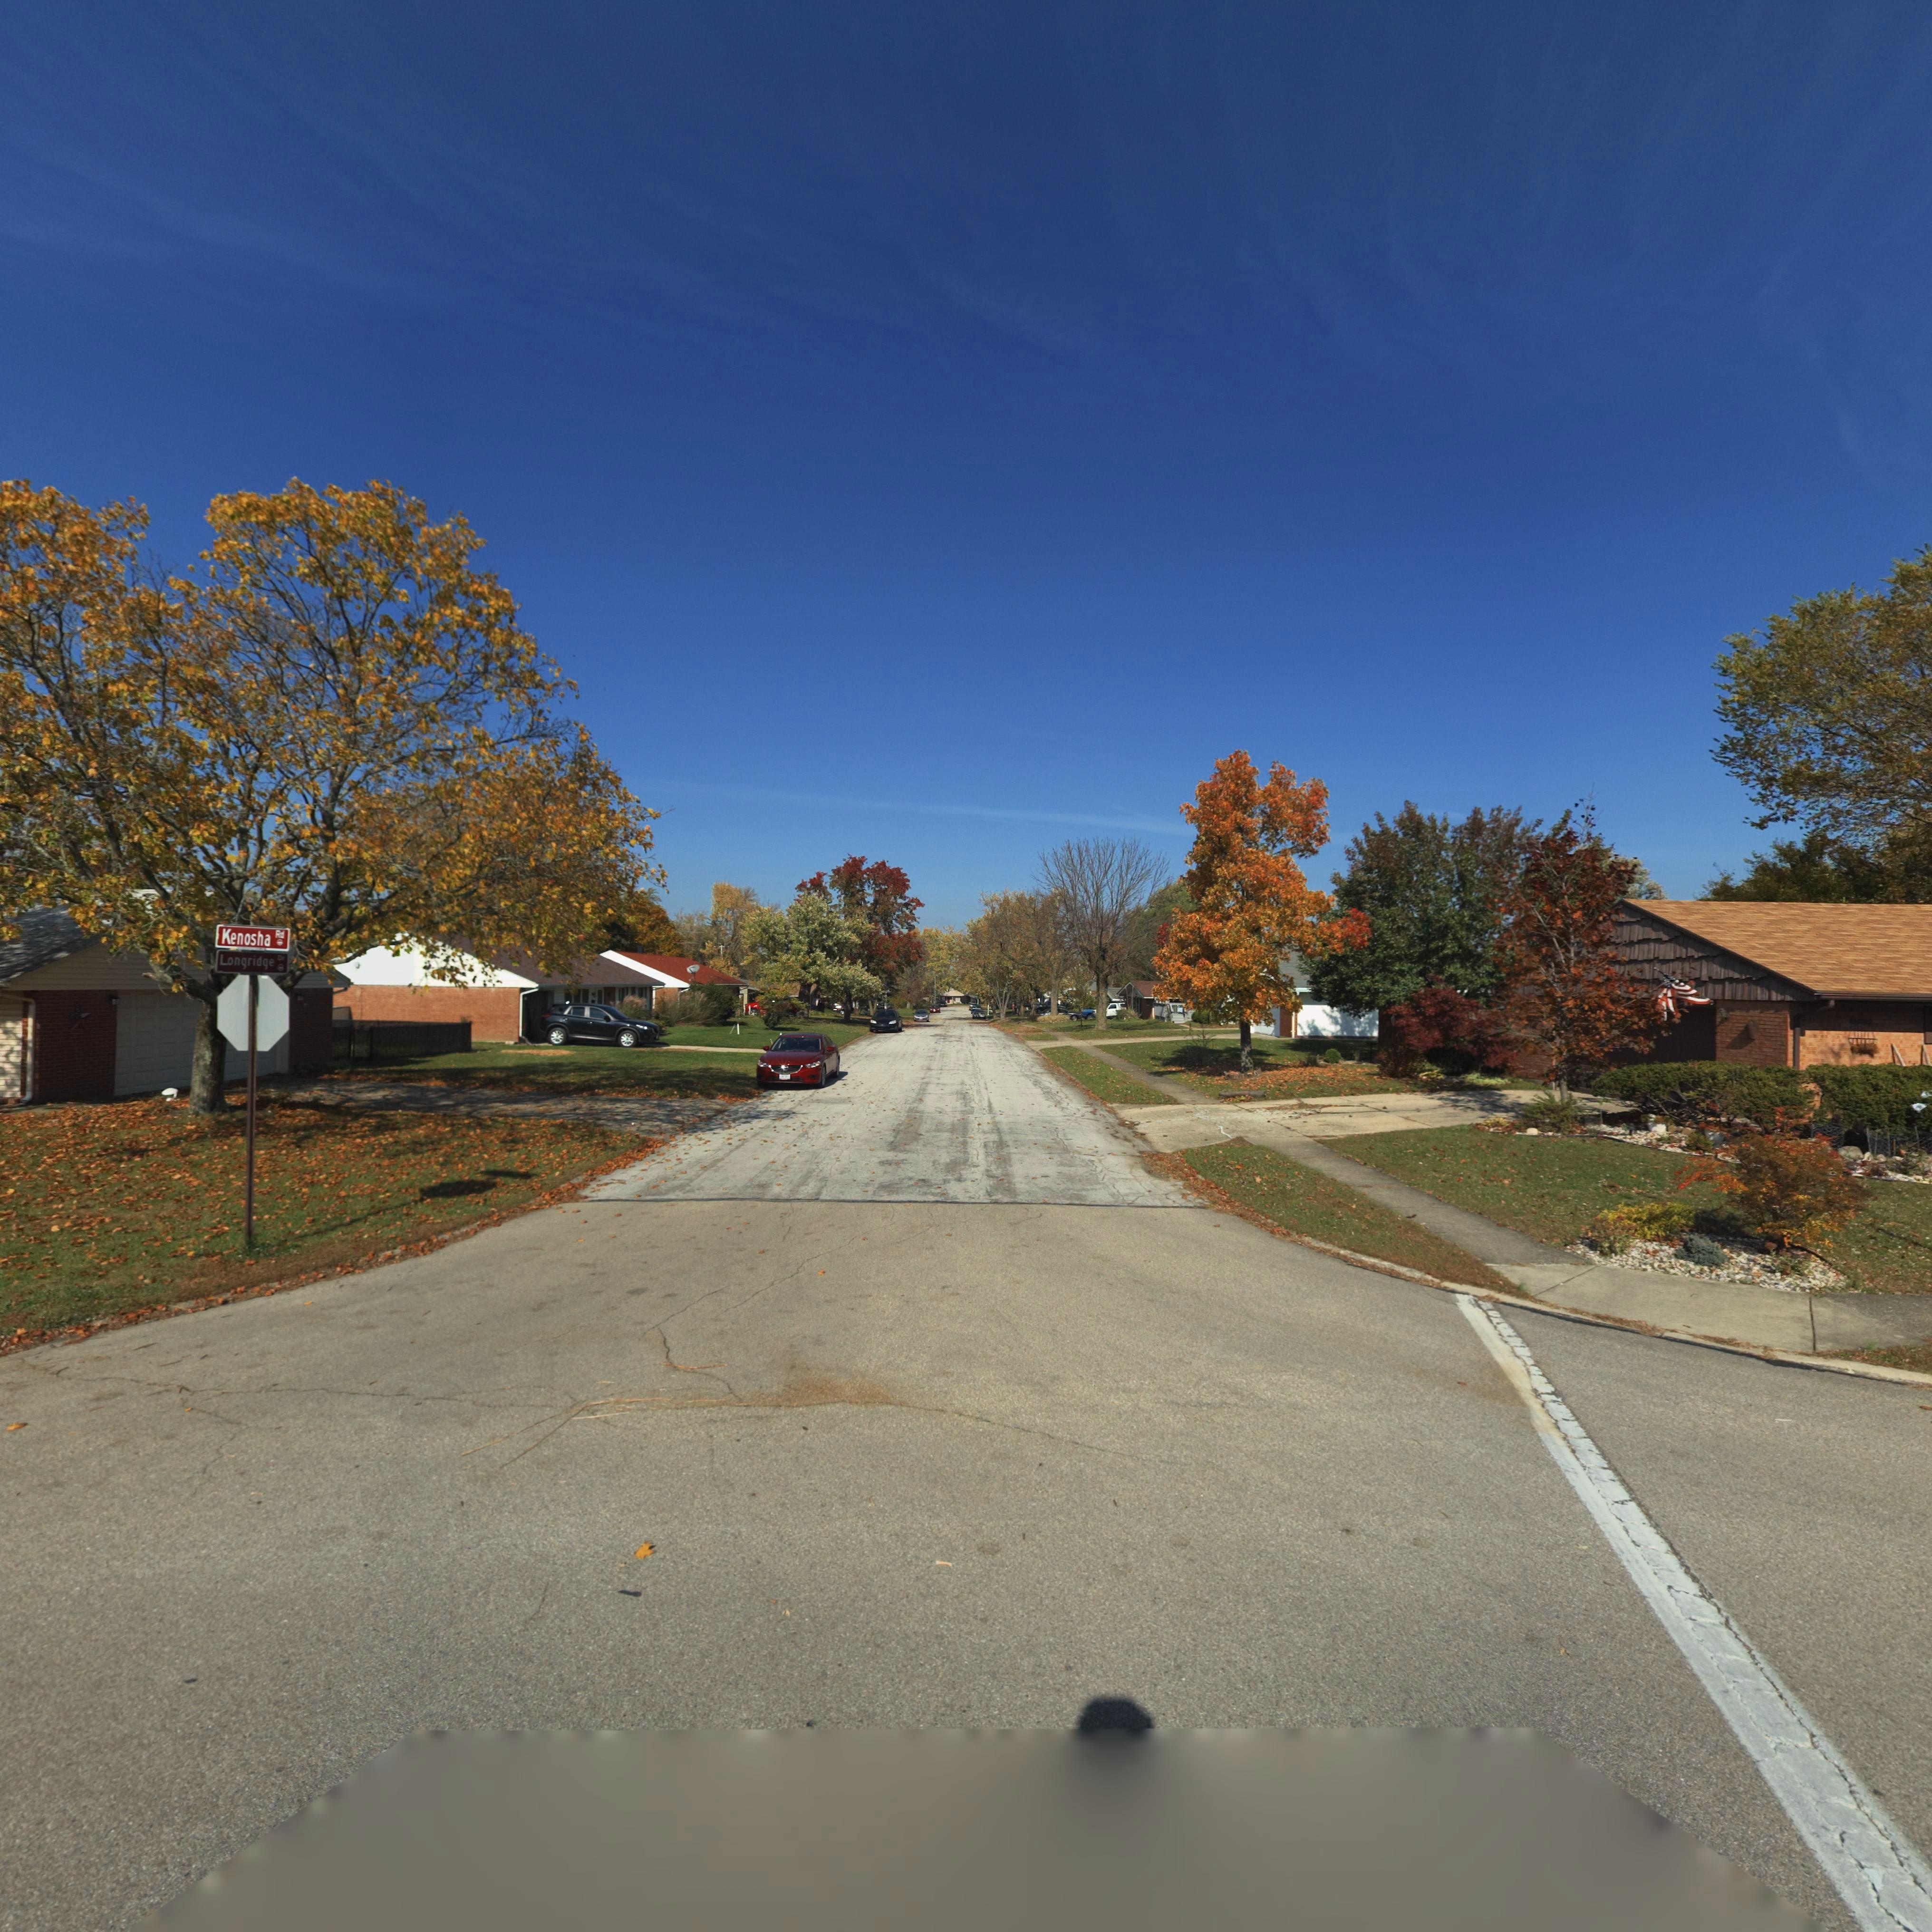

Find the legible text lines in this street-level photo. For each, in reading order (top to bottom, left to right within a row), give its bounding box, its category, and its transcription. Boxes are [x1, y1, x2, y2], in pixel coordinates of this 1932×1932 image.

[219, 926, 286, 948] StreetName: Kenosha Rd
[218, 951, 288, 973] StreetName: Longridge Dr